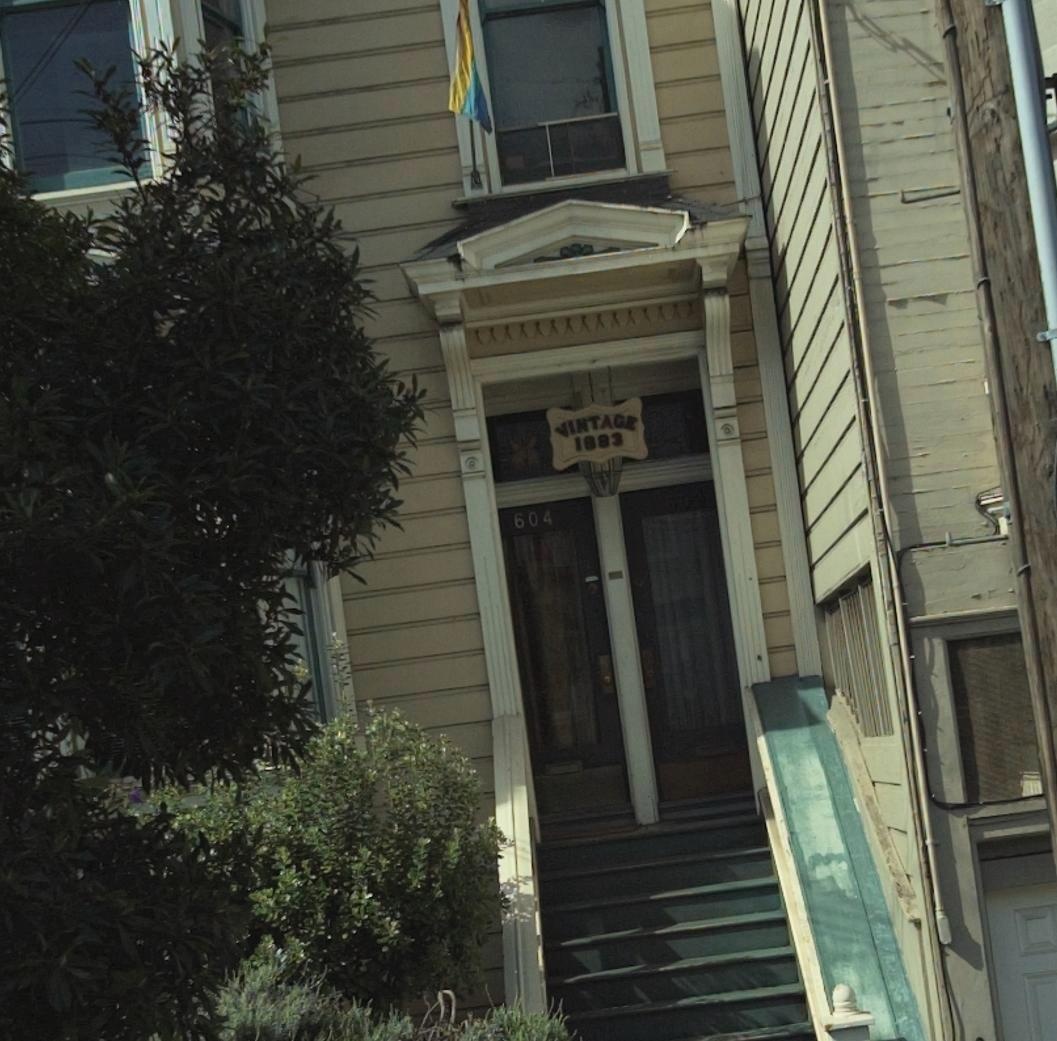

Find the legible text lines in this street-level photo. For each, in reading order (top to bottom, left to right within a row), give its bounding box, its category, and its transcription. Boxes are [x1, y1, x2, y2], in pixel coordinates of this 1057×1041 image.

[551, 411, 643, 439] None: VINTAGE
[572, 431, 625, 453] None: 1883
[512, 507, 556, 532] StreetNumber: 604